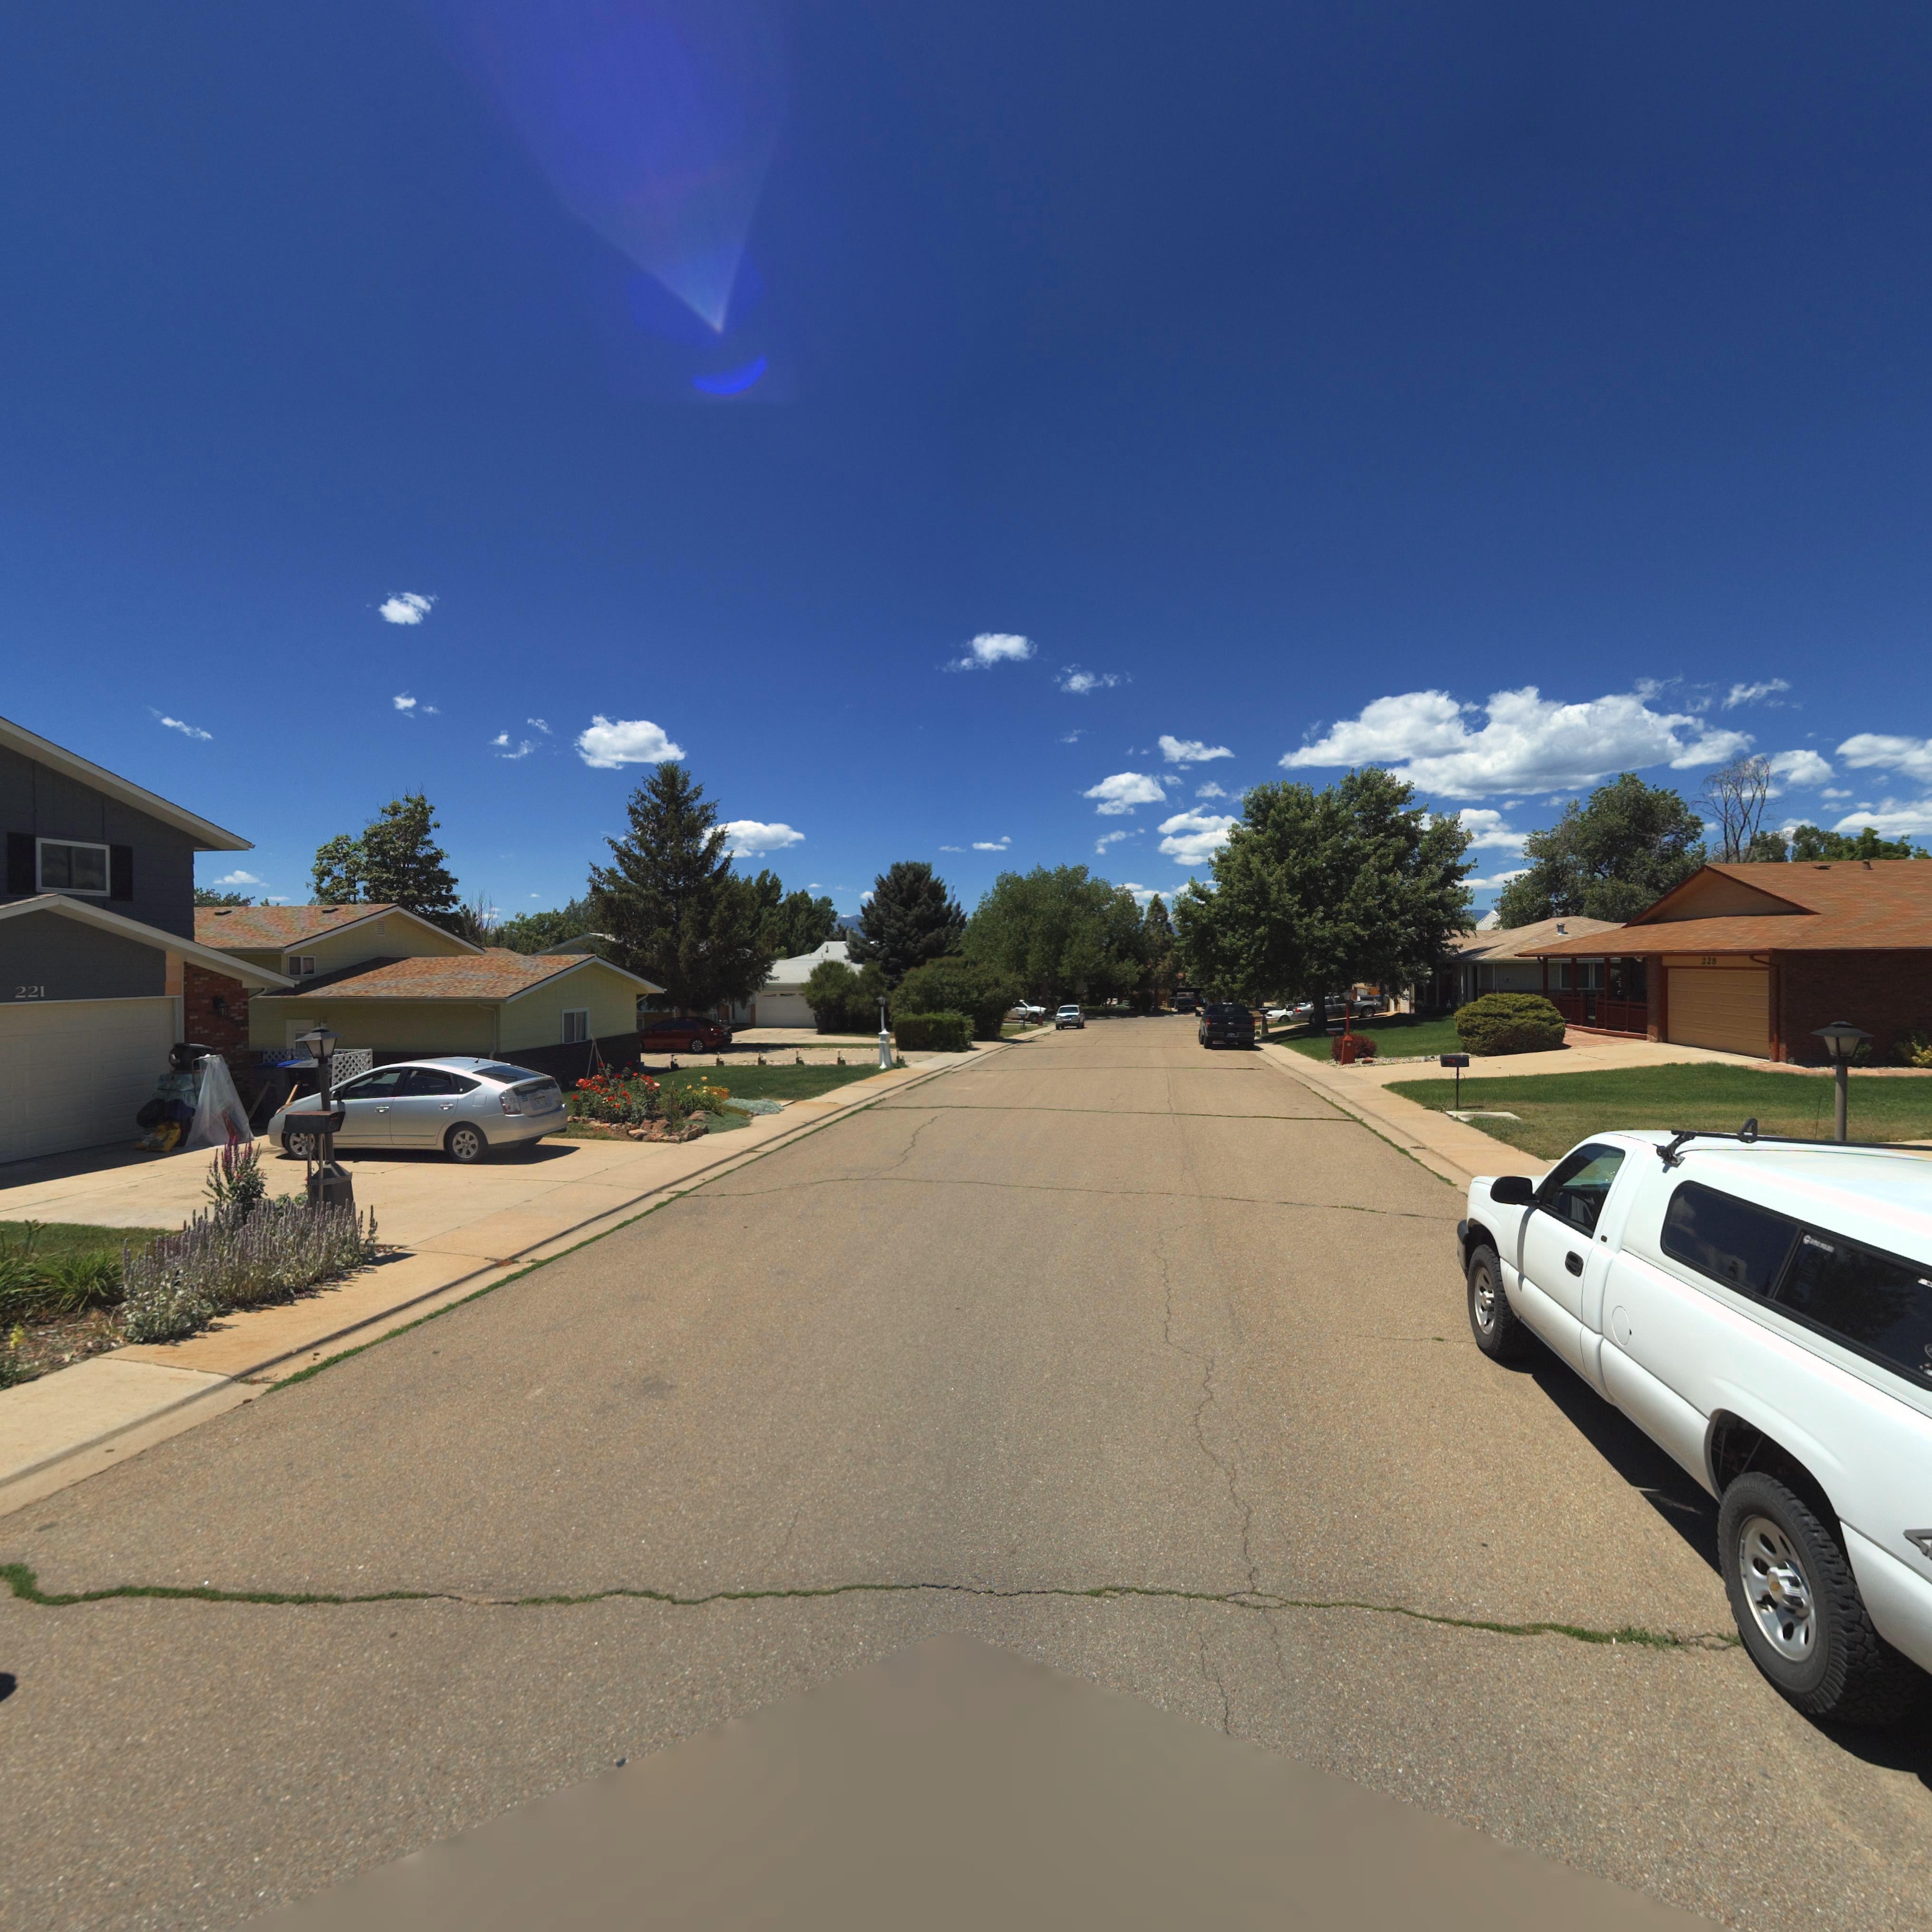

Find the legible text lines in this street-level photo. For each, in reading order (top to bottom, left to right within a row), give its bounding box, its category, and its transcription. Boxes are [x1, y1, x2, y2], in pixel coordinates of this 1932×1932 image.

[1701, 957, 1716, 965] StreetNumber: 228
[14, 985, 45, 999] StreetNumber: 221